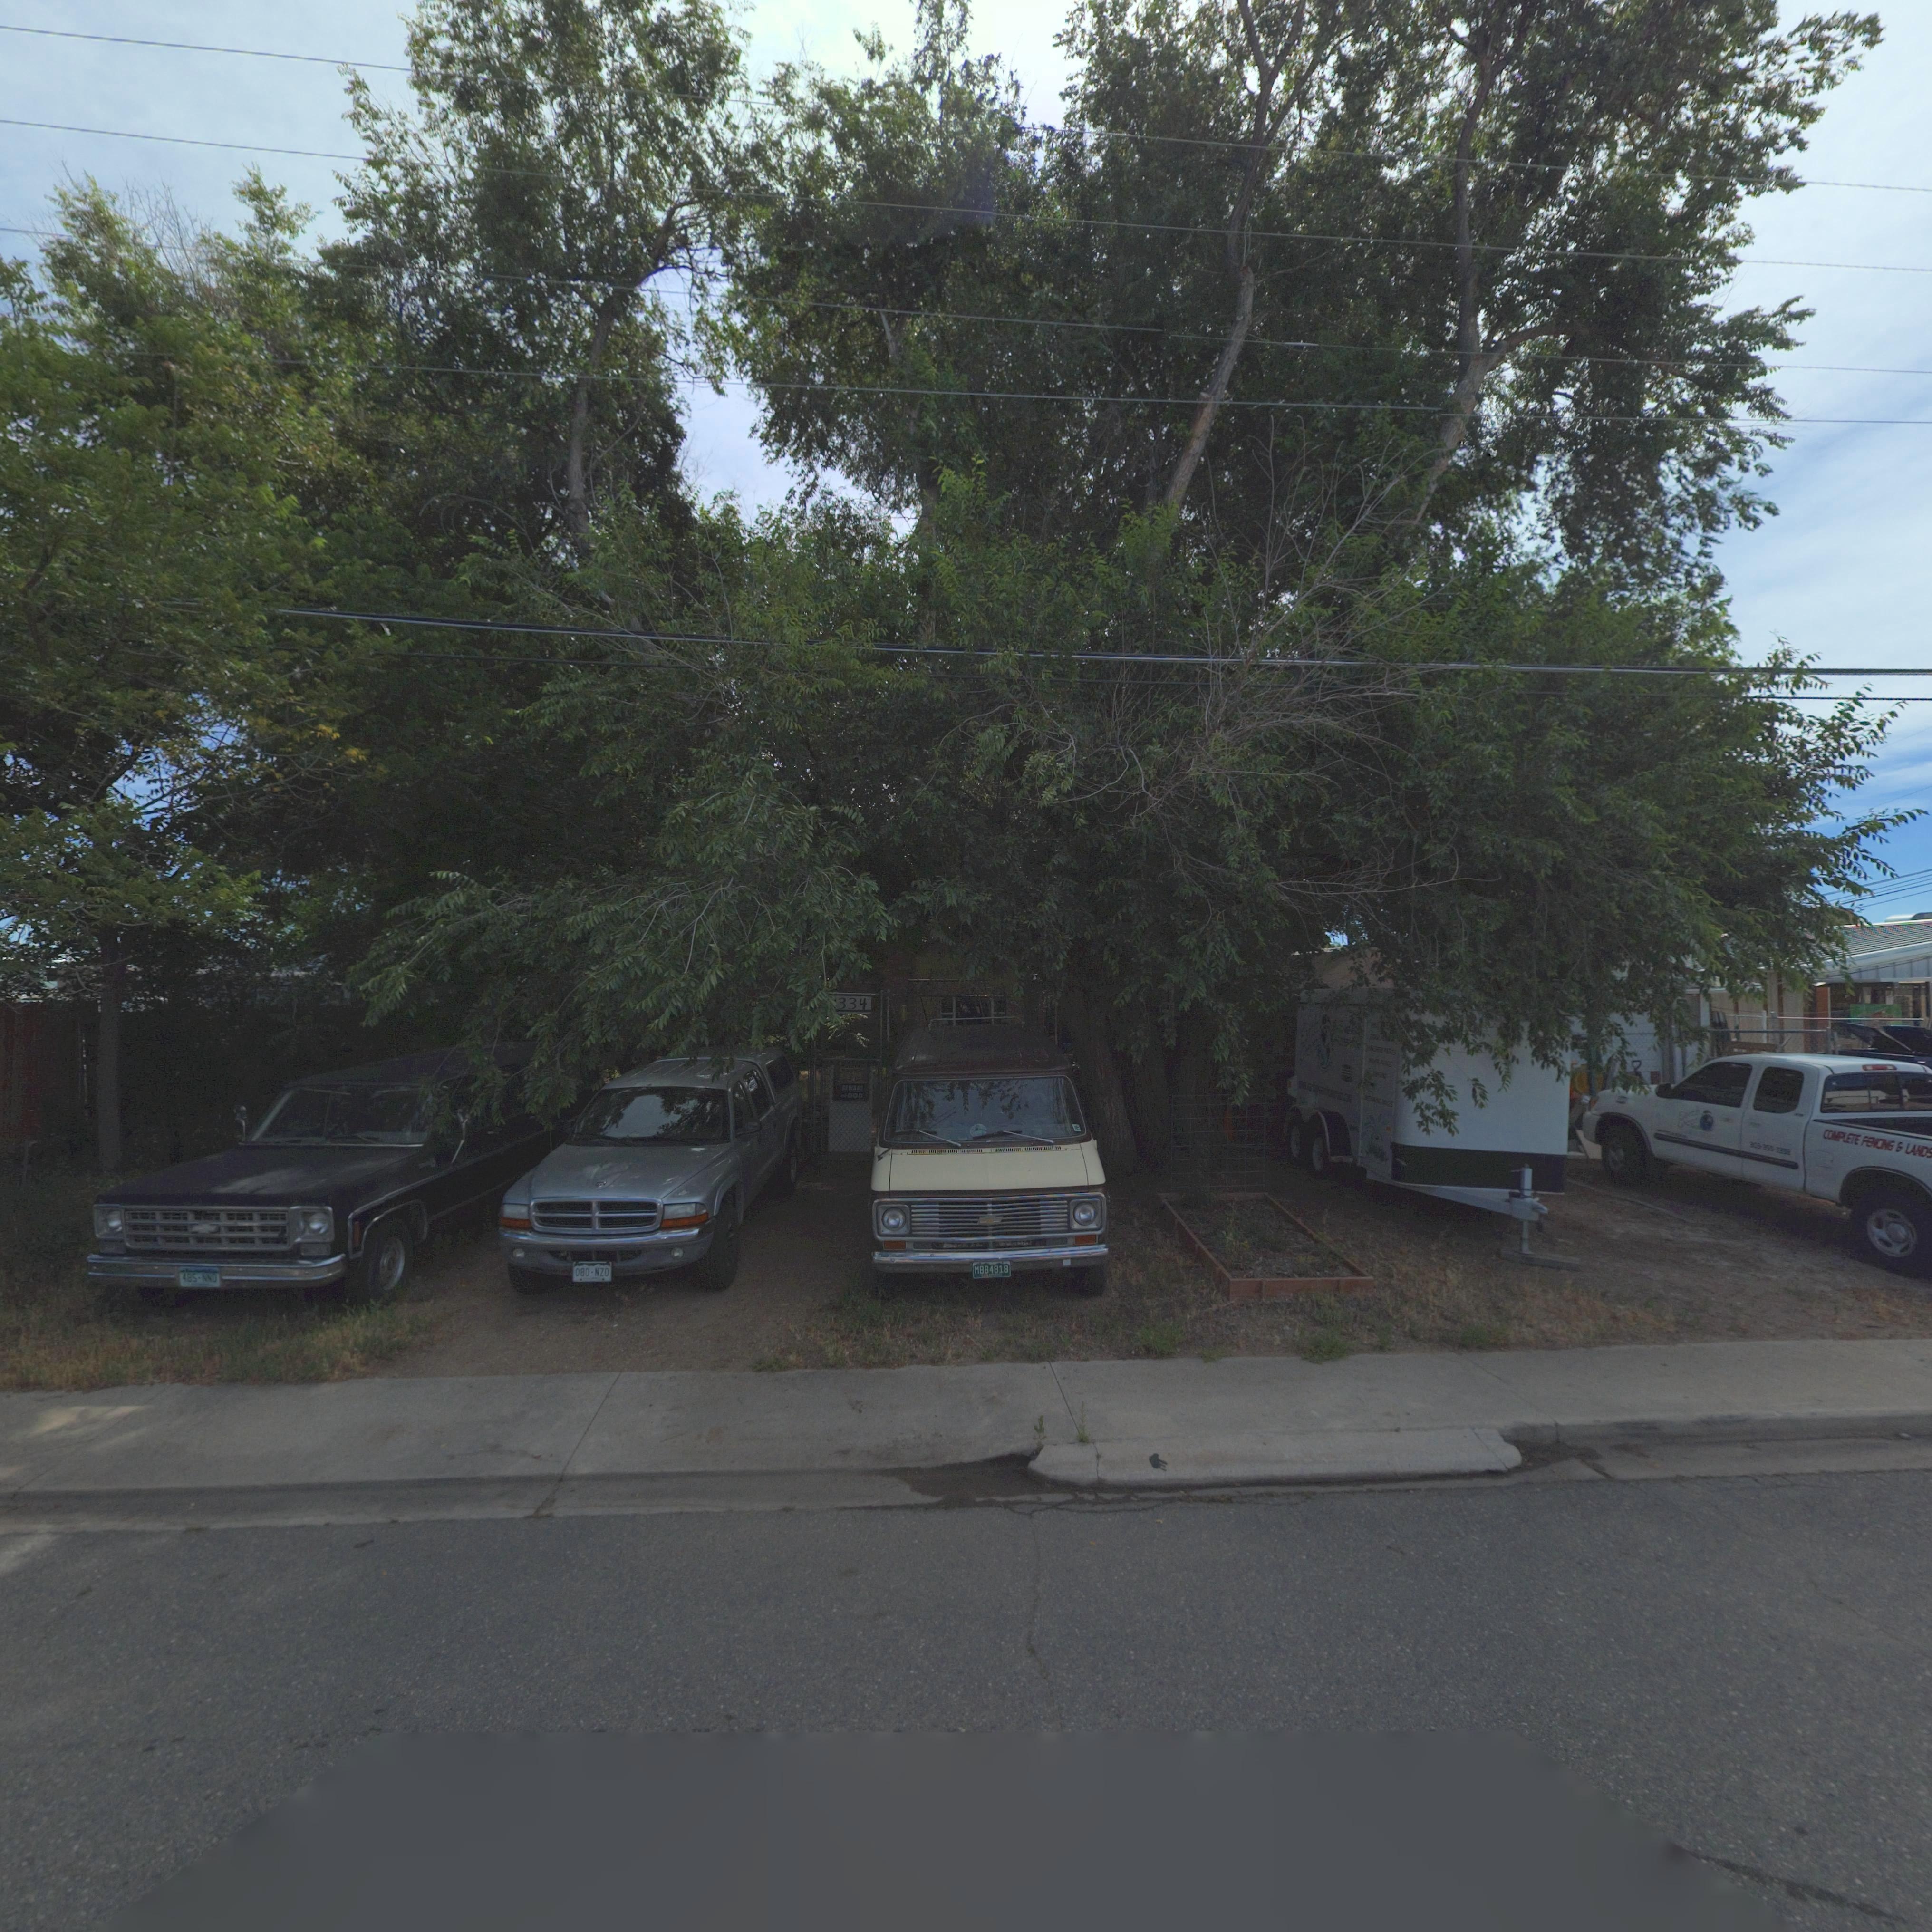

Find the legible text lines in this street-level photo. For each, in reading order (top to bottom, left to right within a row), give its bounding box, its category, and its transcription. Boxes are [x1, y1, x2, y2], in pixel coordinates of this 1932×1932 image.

[831, 996, 868, 1010] StreetNumber: *334